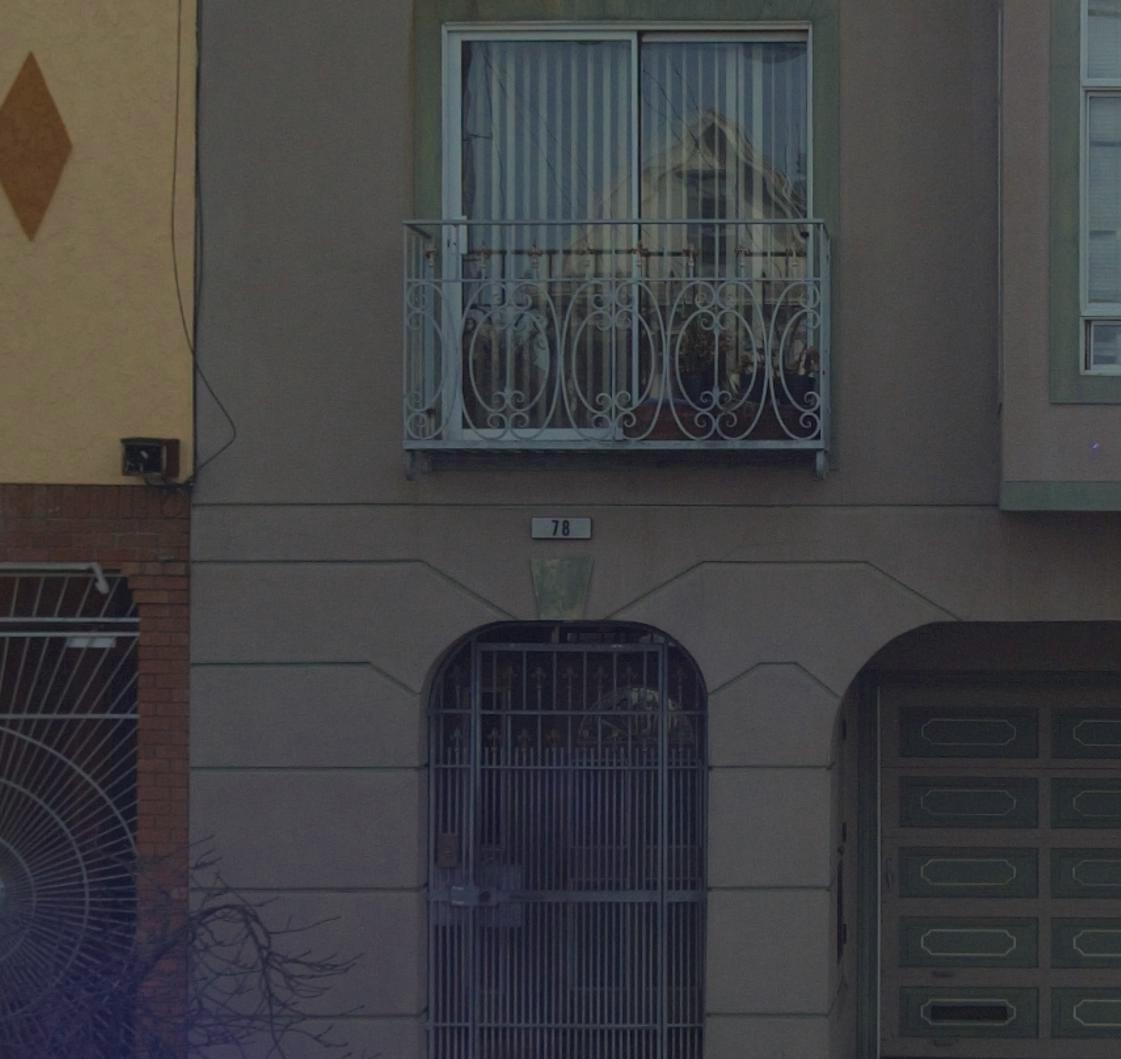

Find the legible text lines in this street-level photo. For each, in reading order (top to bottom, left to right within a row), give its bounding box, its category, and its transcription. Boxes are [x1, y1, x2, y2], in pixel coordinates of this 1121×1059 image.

[548, 517, 572, 538] StreetNumber: 78